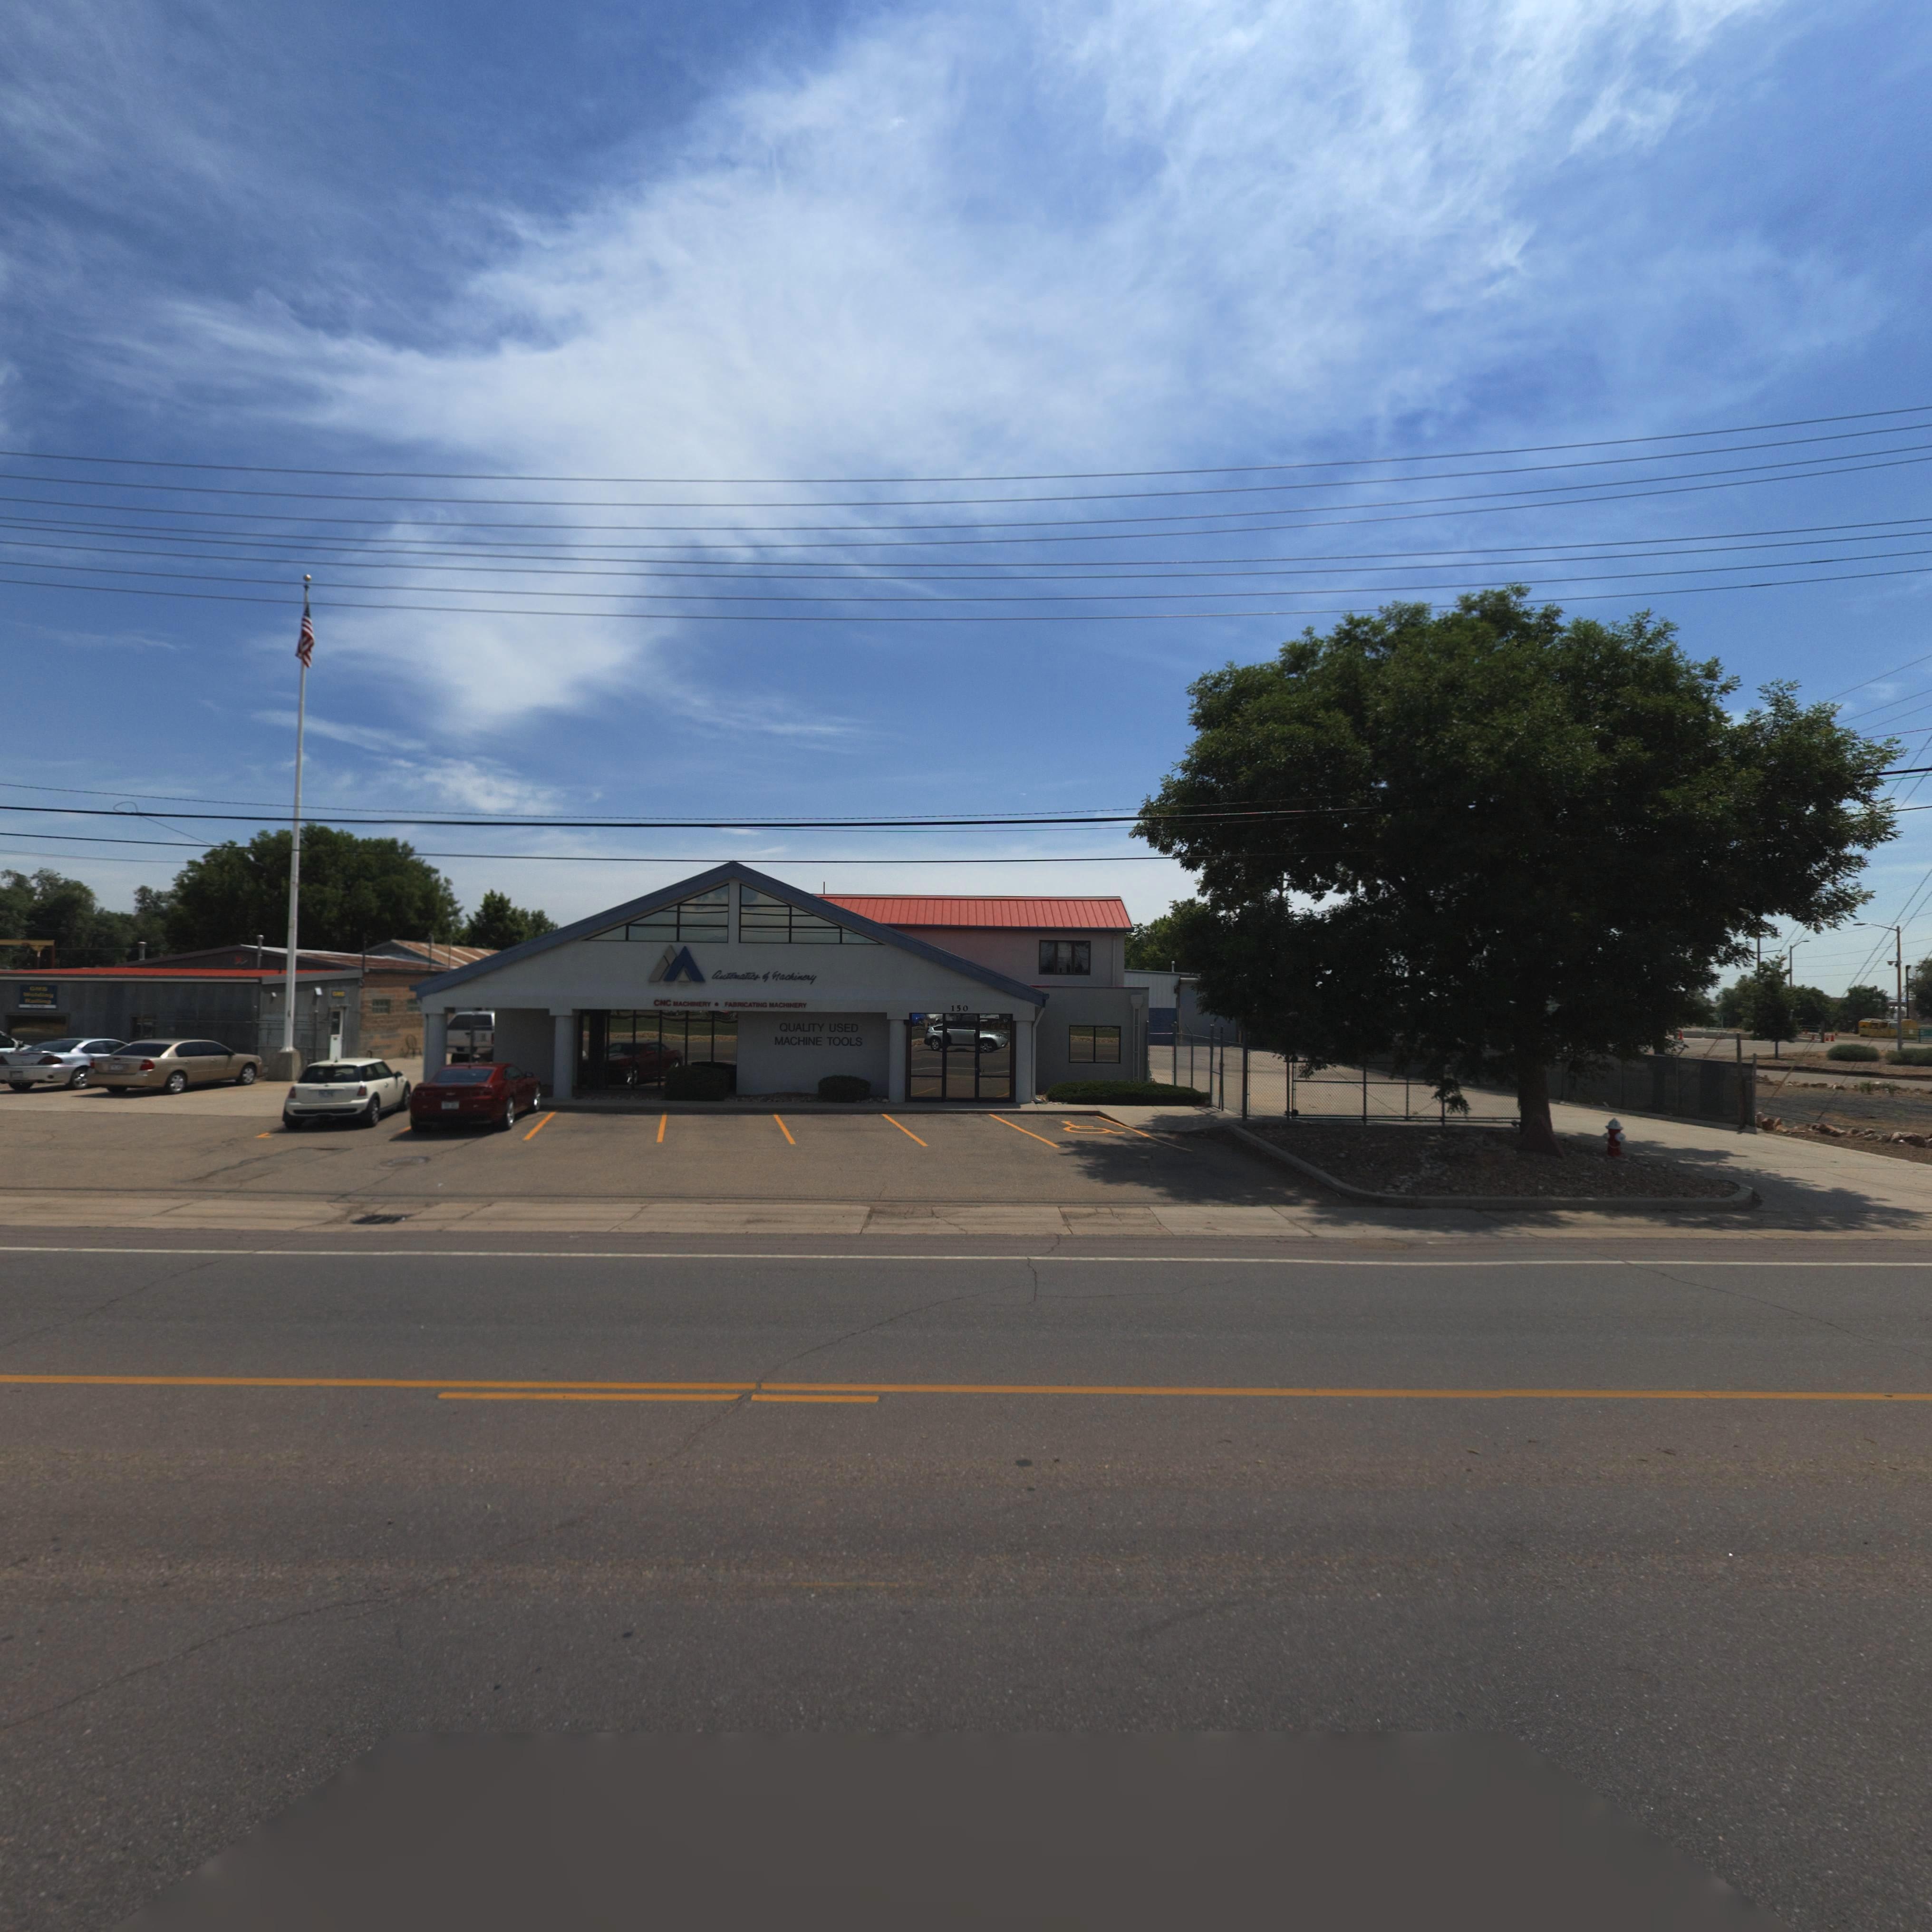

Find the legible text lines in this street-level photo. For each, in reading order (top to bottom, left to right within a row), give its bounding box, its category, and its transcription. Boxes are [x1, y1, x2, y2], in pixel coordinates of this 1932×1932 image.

[711, 969, 817, 985] BusinessName: Automatics * Machinery
[29, 985, 48, 991] BusinessName: GMB
[23, 992, 54, 999] BusinessName: Welding
[332, 991, 345, 996] BusinessName: GMB
[25, 998, 51, 1005] BusinessName: Railing
[950, 1004, 968, 1012] StreetNumber: 150